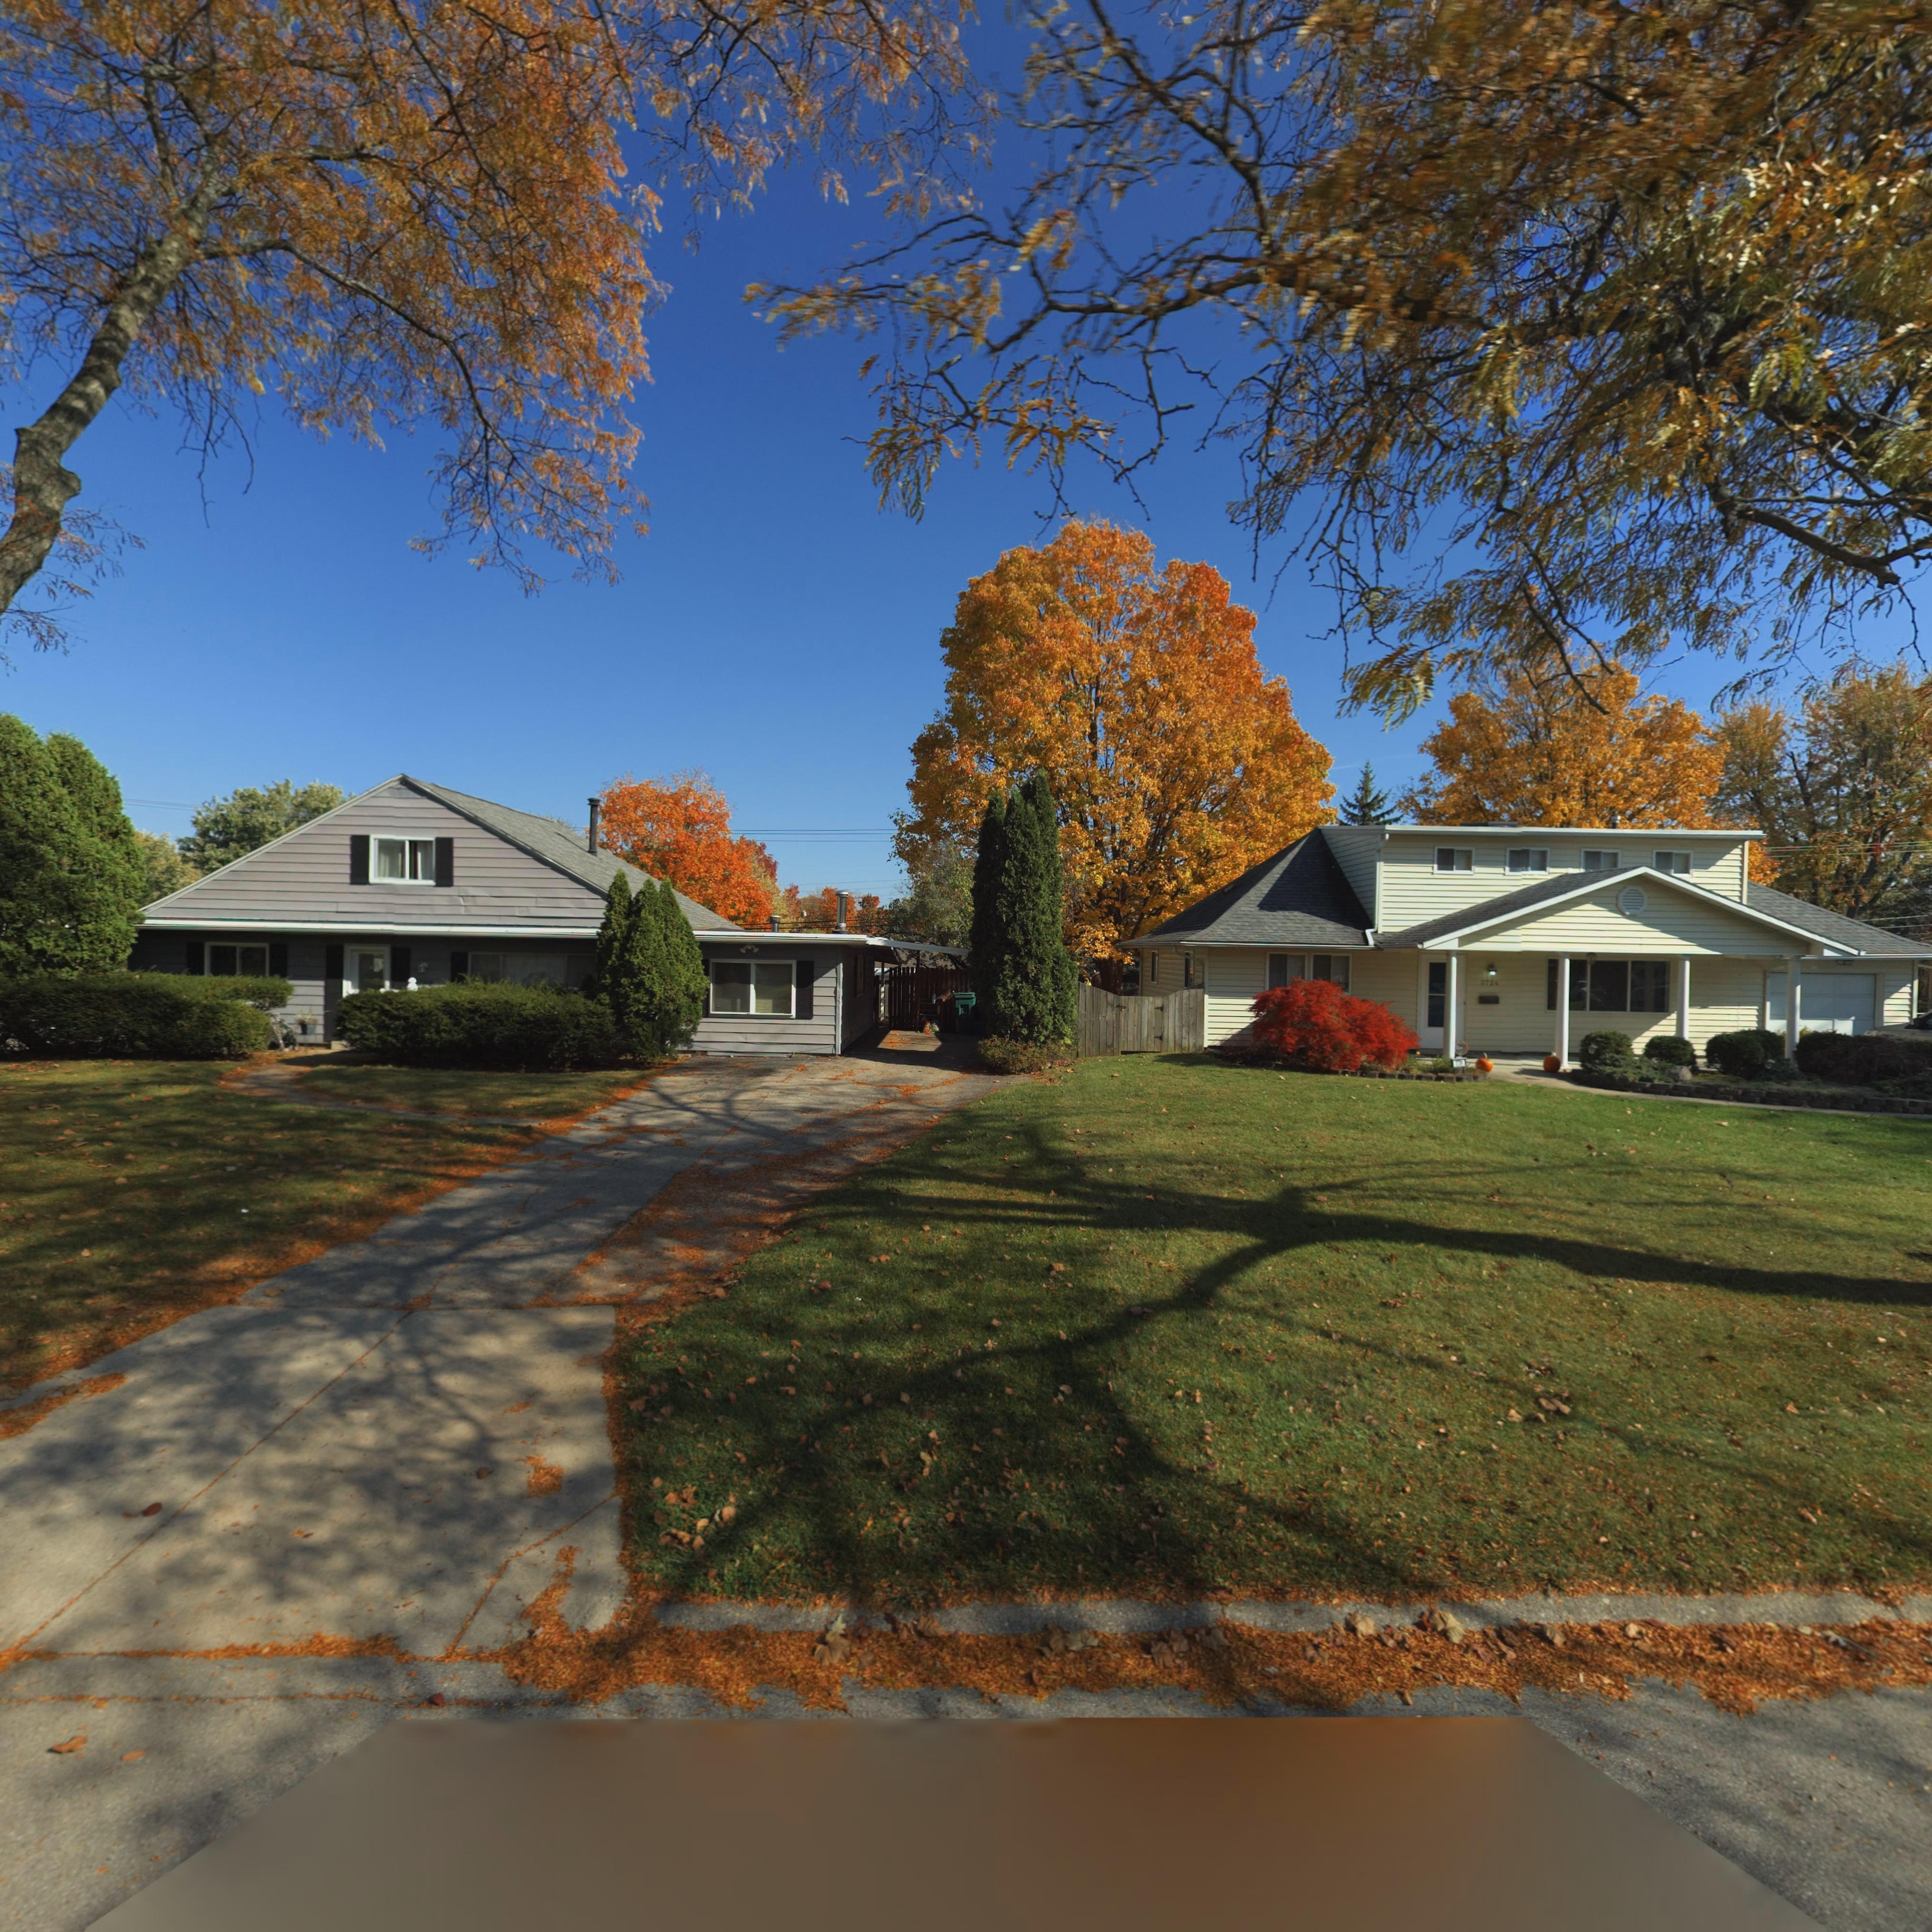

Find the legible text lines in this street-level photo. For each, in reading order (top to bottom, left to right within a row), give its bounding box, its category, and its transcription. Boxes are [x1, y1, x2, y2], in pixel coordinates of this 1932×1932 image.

[1480, 979, 1499, 986] StreetNumber: 3724